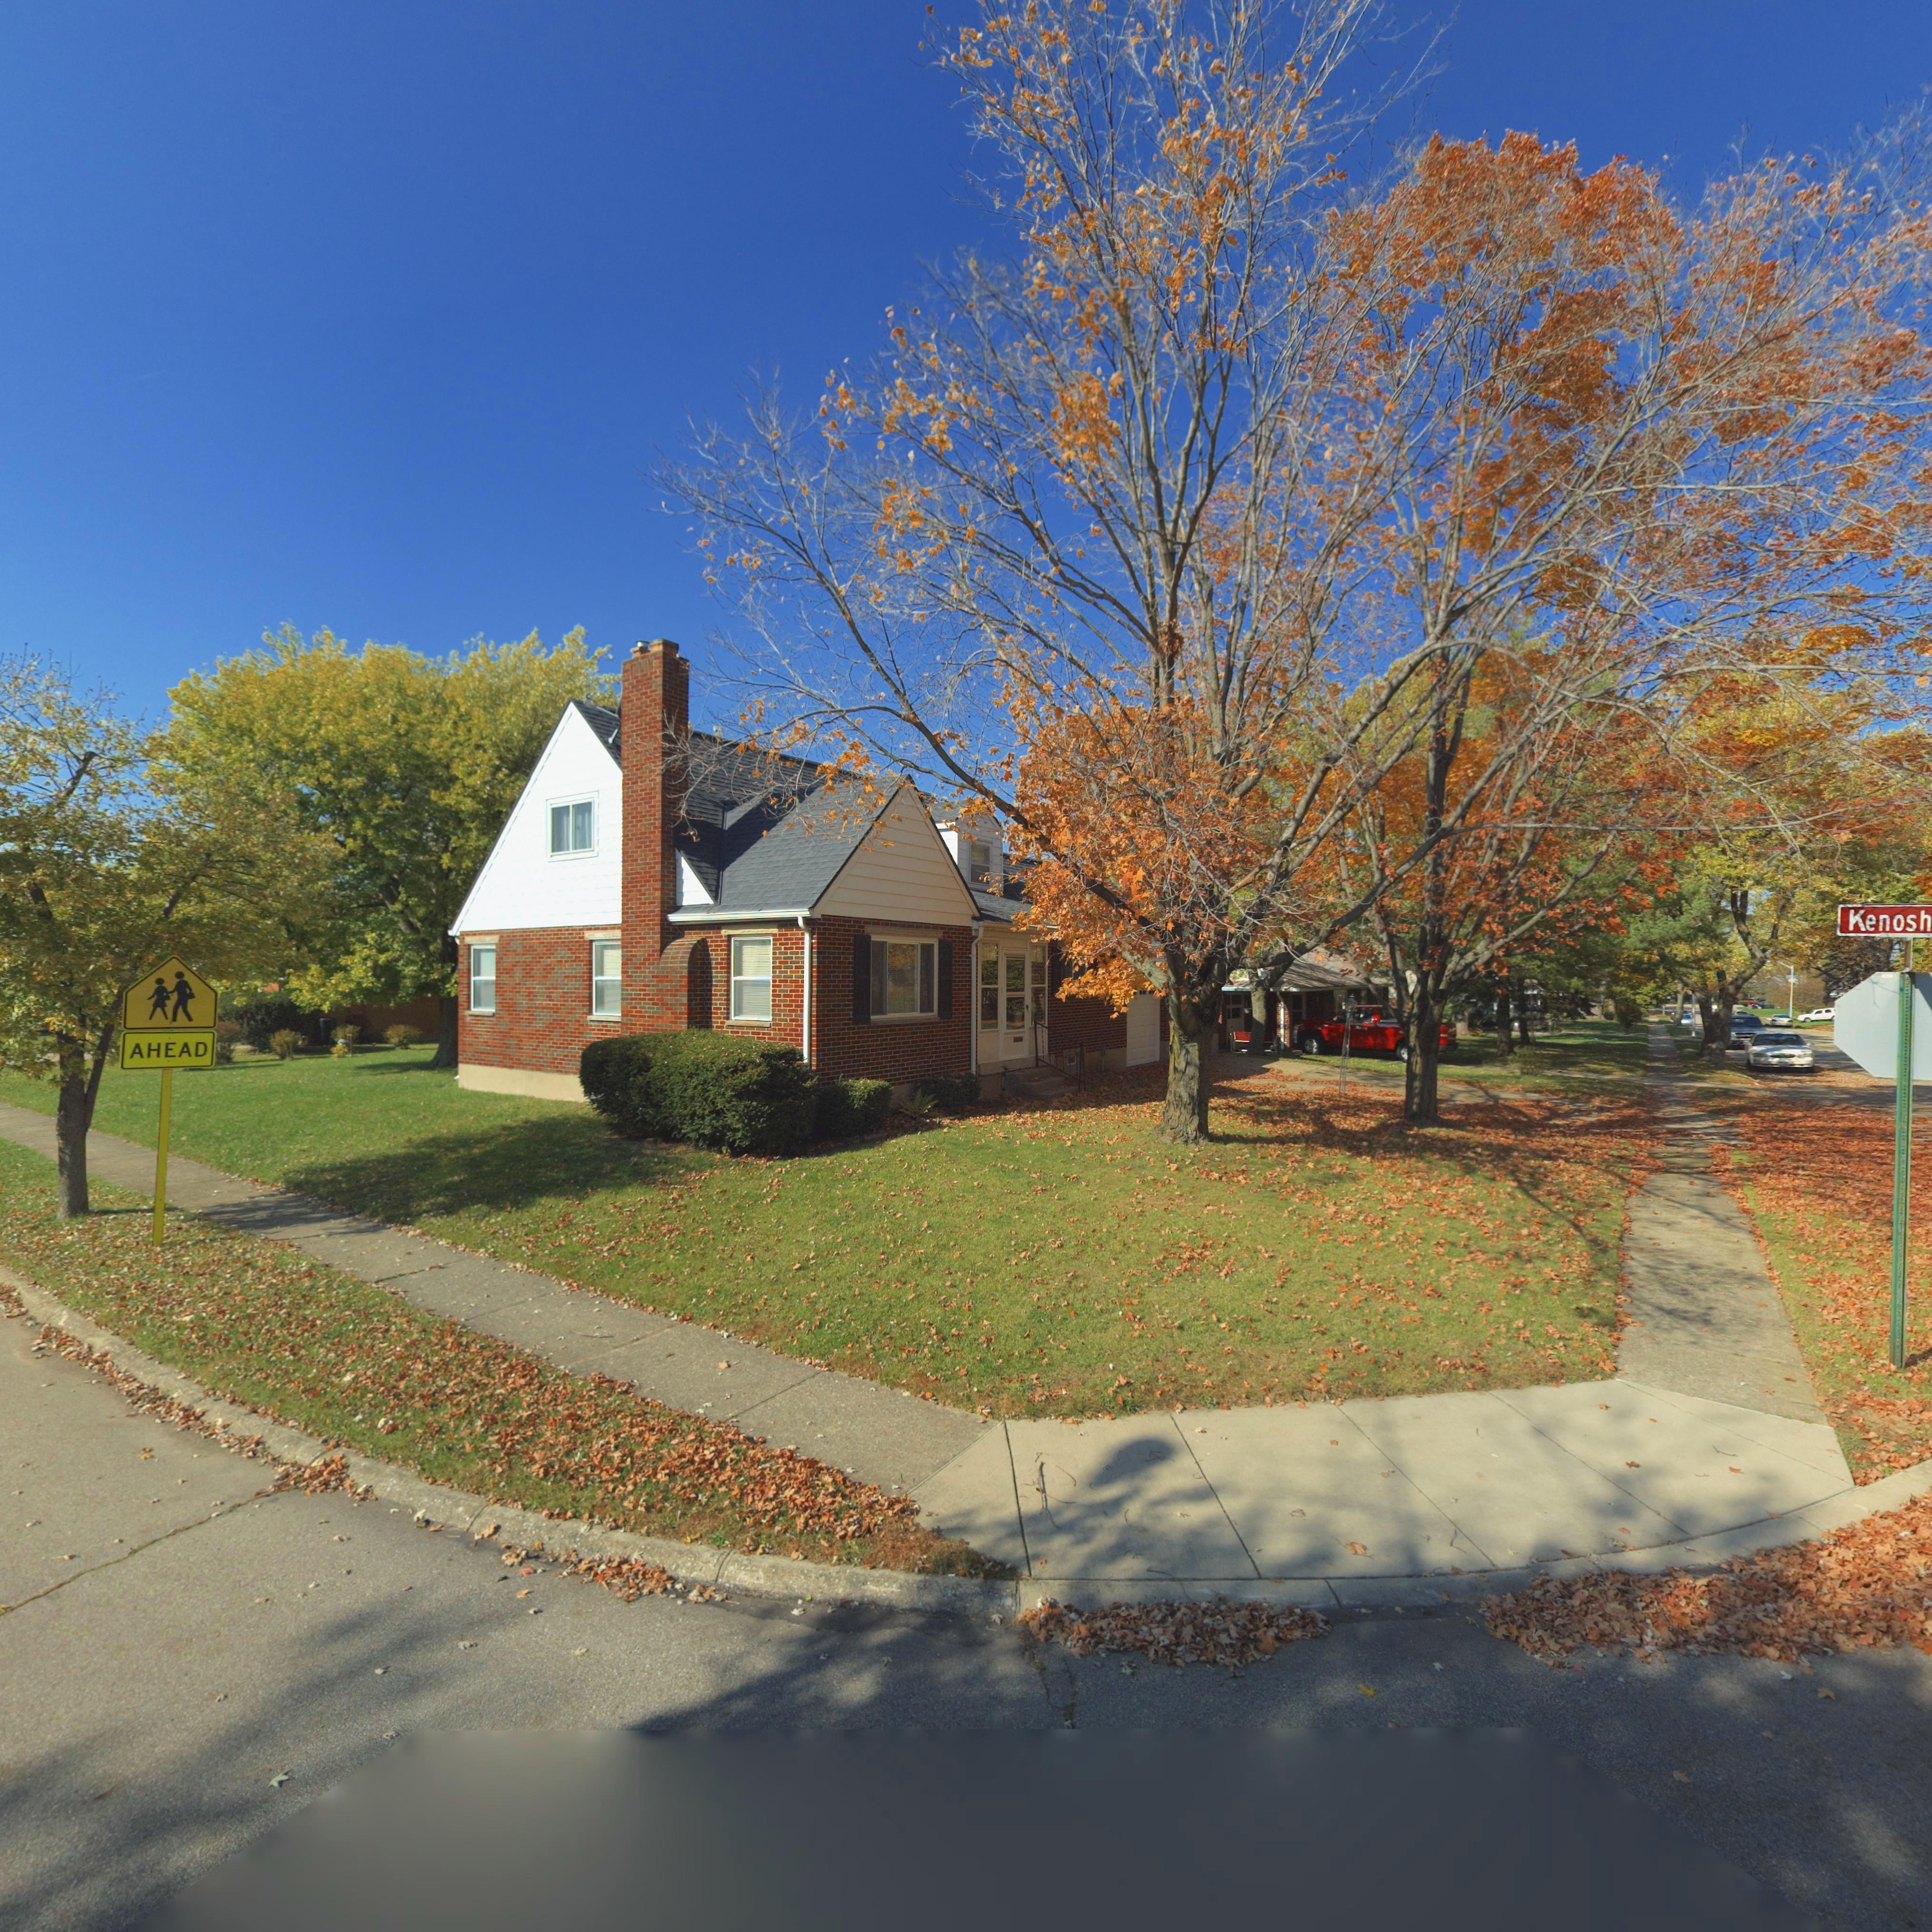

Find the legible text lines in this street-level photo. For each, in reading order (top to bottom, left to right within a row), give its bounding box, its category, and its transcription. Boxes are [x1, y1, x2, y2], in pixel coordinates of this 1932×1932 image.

[1848, 909, 1932, 932] StreetName: Kenosh
[128, 1042, 208, 1059] None: AHEAD